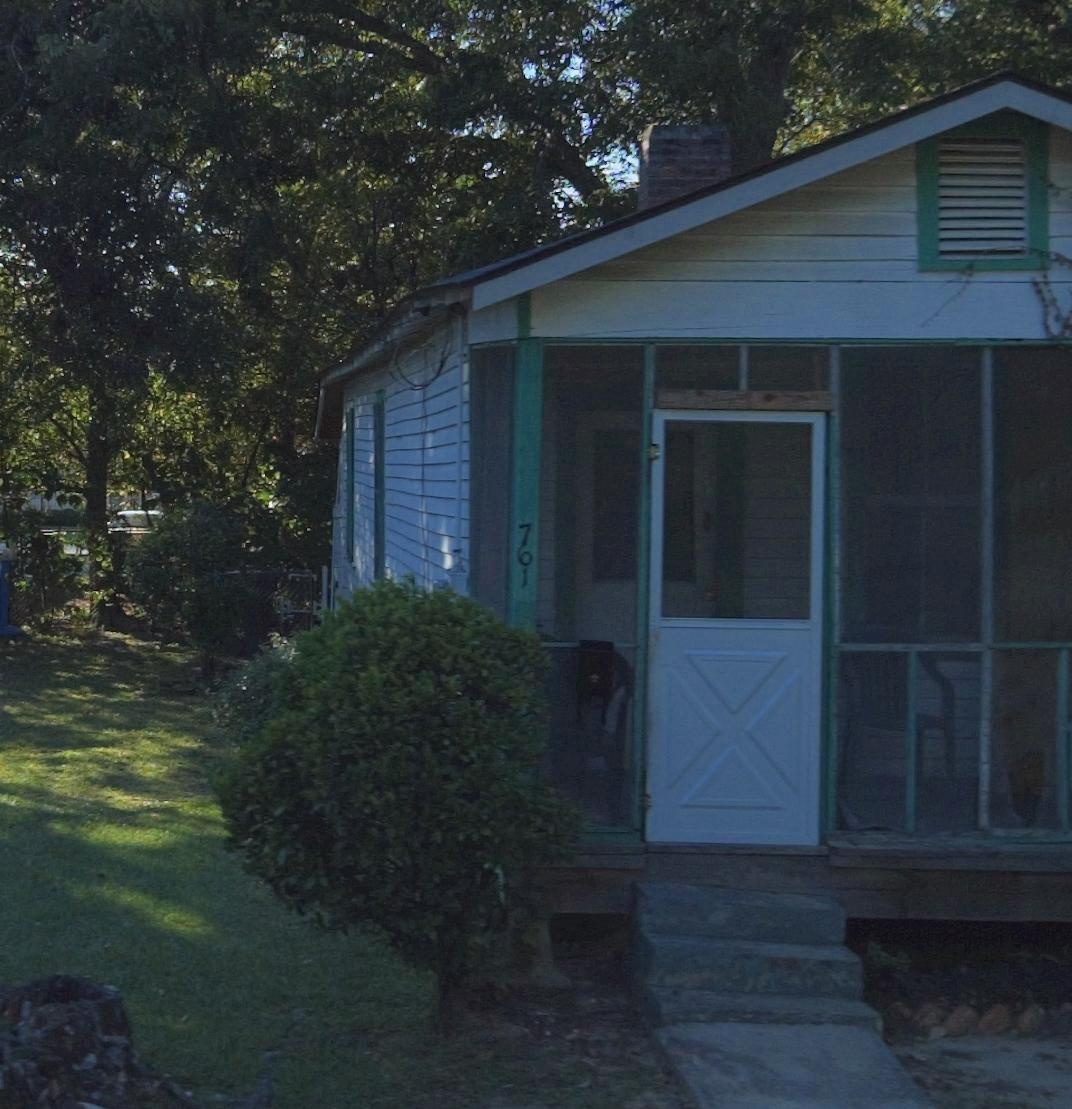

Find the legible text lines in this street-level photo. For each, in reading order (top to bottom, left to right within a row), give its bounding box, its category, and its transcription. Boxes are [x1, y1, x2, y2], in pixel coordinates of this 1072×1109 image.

[514, 519, 536, 592] StreetNumber: 761